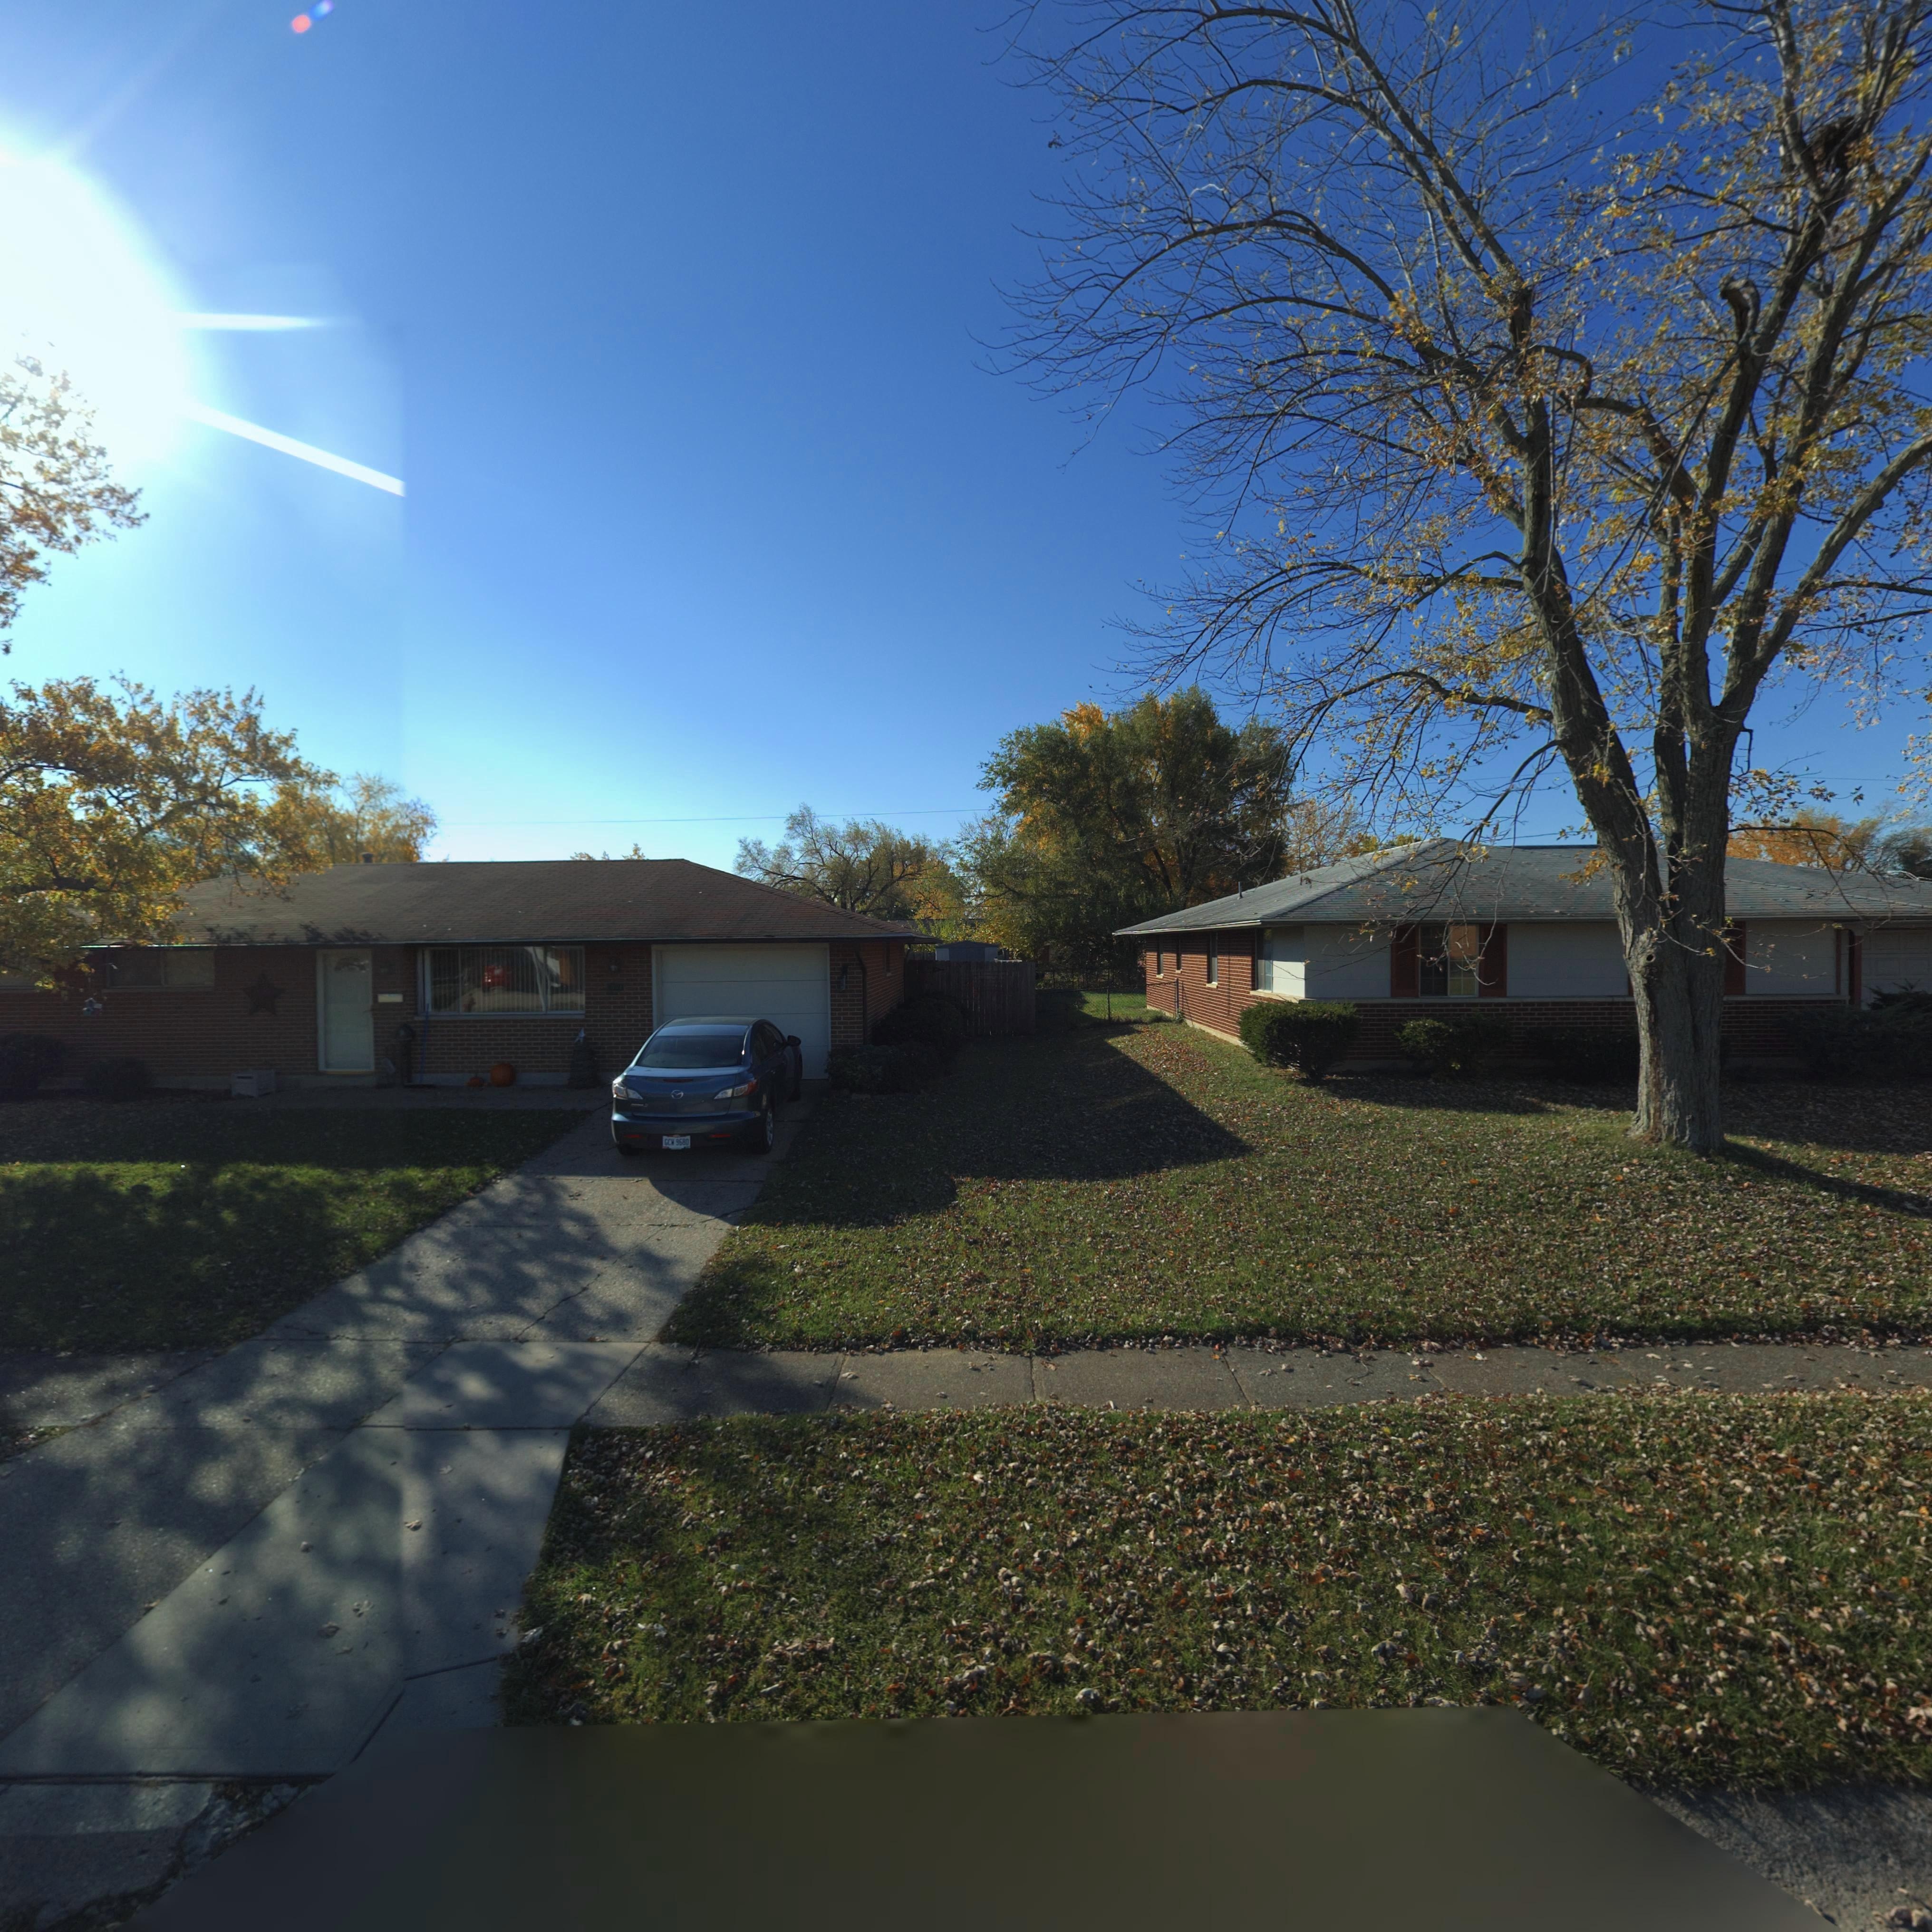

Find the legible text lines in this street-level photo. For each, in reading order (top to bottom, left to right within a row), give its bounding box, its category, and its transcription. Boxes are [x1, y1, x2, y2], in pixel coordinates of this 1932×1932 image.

[607, 984, 623, 990] StreetNumber: *9**